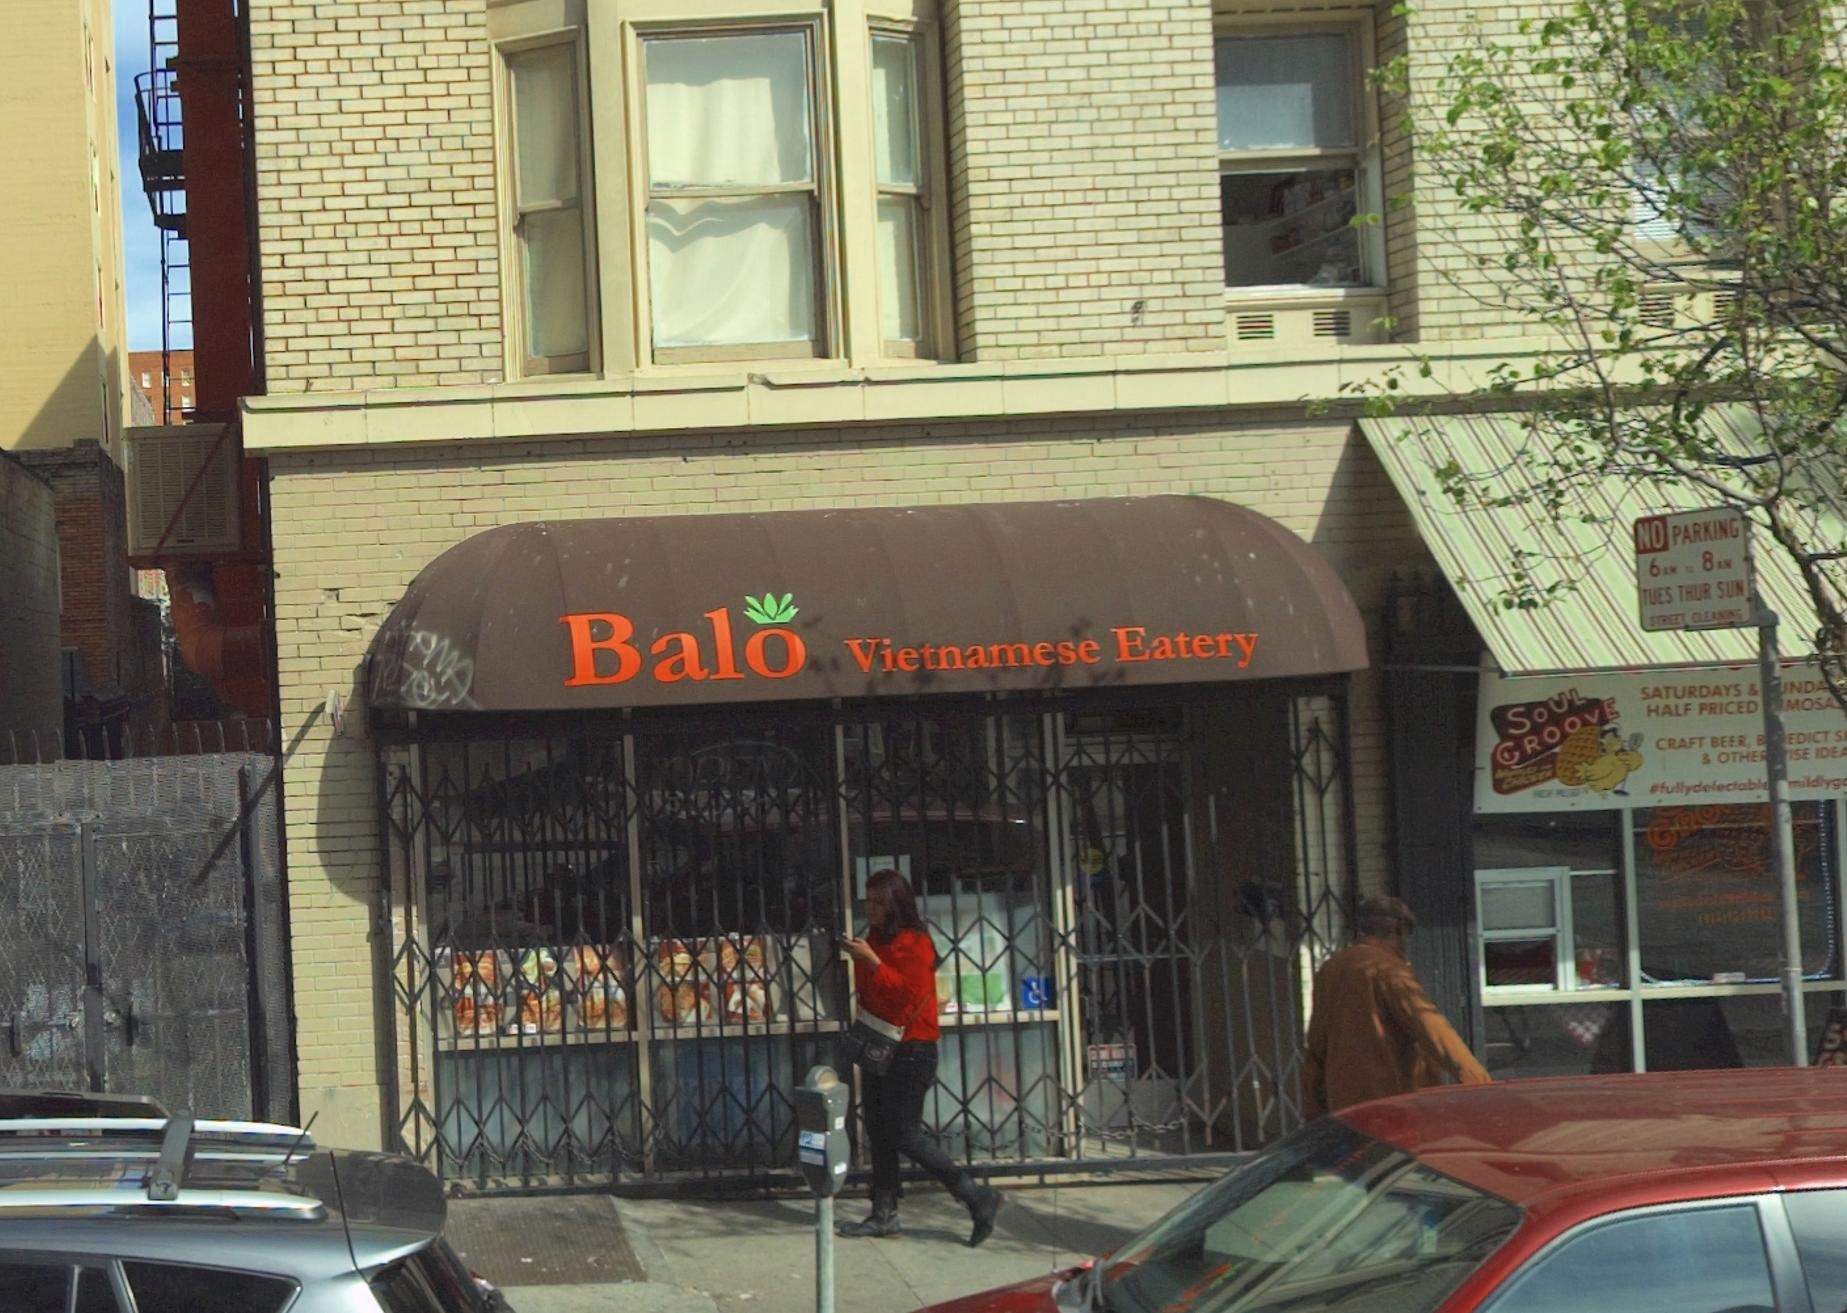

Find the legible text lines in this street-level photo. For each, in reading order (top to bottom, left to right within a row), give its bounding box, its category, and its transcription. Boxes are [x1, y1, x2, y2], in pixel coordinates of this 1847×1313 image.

[1634, 514, 1743, 554] None: NO PARKING
[1646, 554, 1664, 581] None: 6
[1698, 547, 1718, 575] None: 8
[1638, 575, 1748, 609] None: TUES THUR SUN
[1646, 604, 1746, 630] None: STREET CLEA***G
[555, 604, 1267, 693] BusinessName: Balo Vietnamese Eatery
[1636, 678, 1830, 703] None: SATURDAY &***NDA
[1501, 683, 1591, 738] None: Soul
[1643, 695, 1842, 721] None: HALF PRICED**MOSA
[1491, 693, 1623, 769] None: GROOVE
[1652, 727, 1845, 755] None: CRAFT BEER, B**EDICT S
[1715, 743, 1843, 768] None: OTHE***ISE IDE
[1655, 771, 1843, 799] None: fullyd***ctabl****eldlyg
[1642, 807, 1706, 853] None: GR